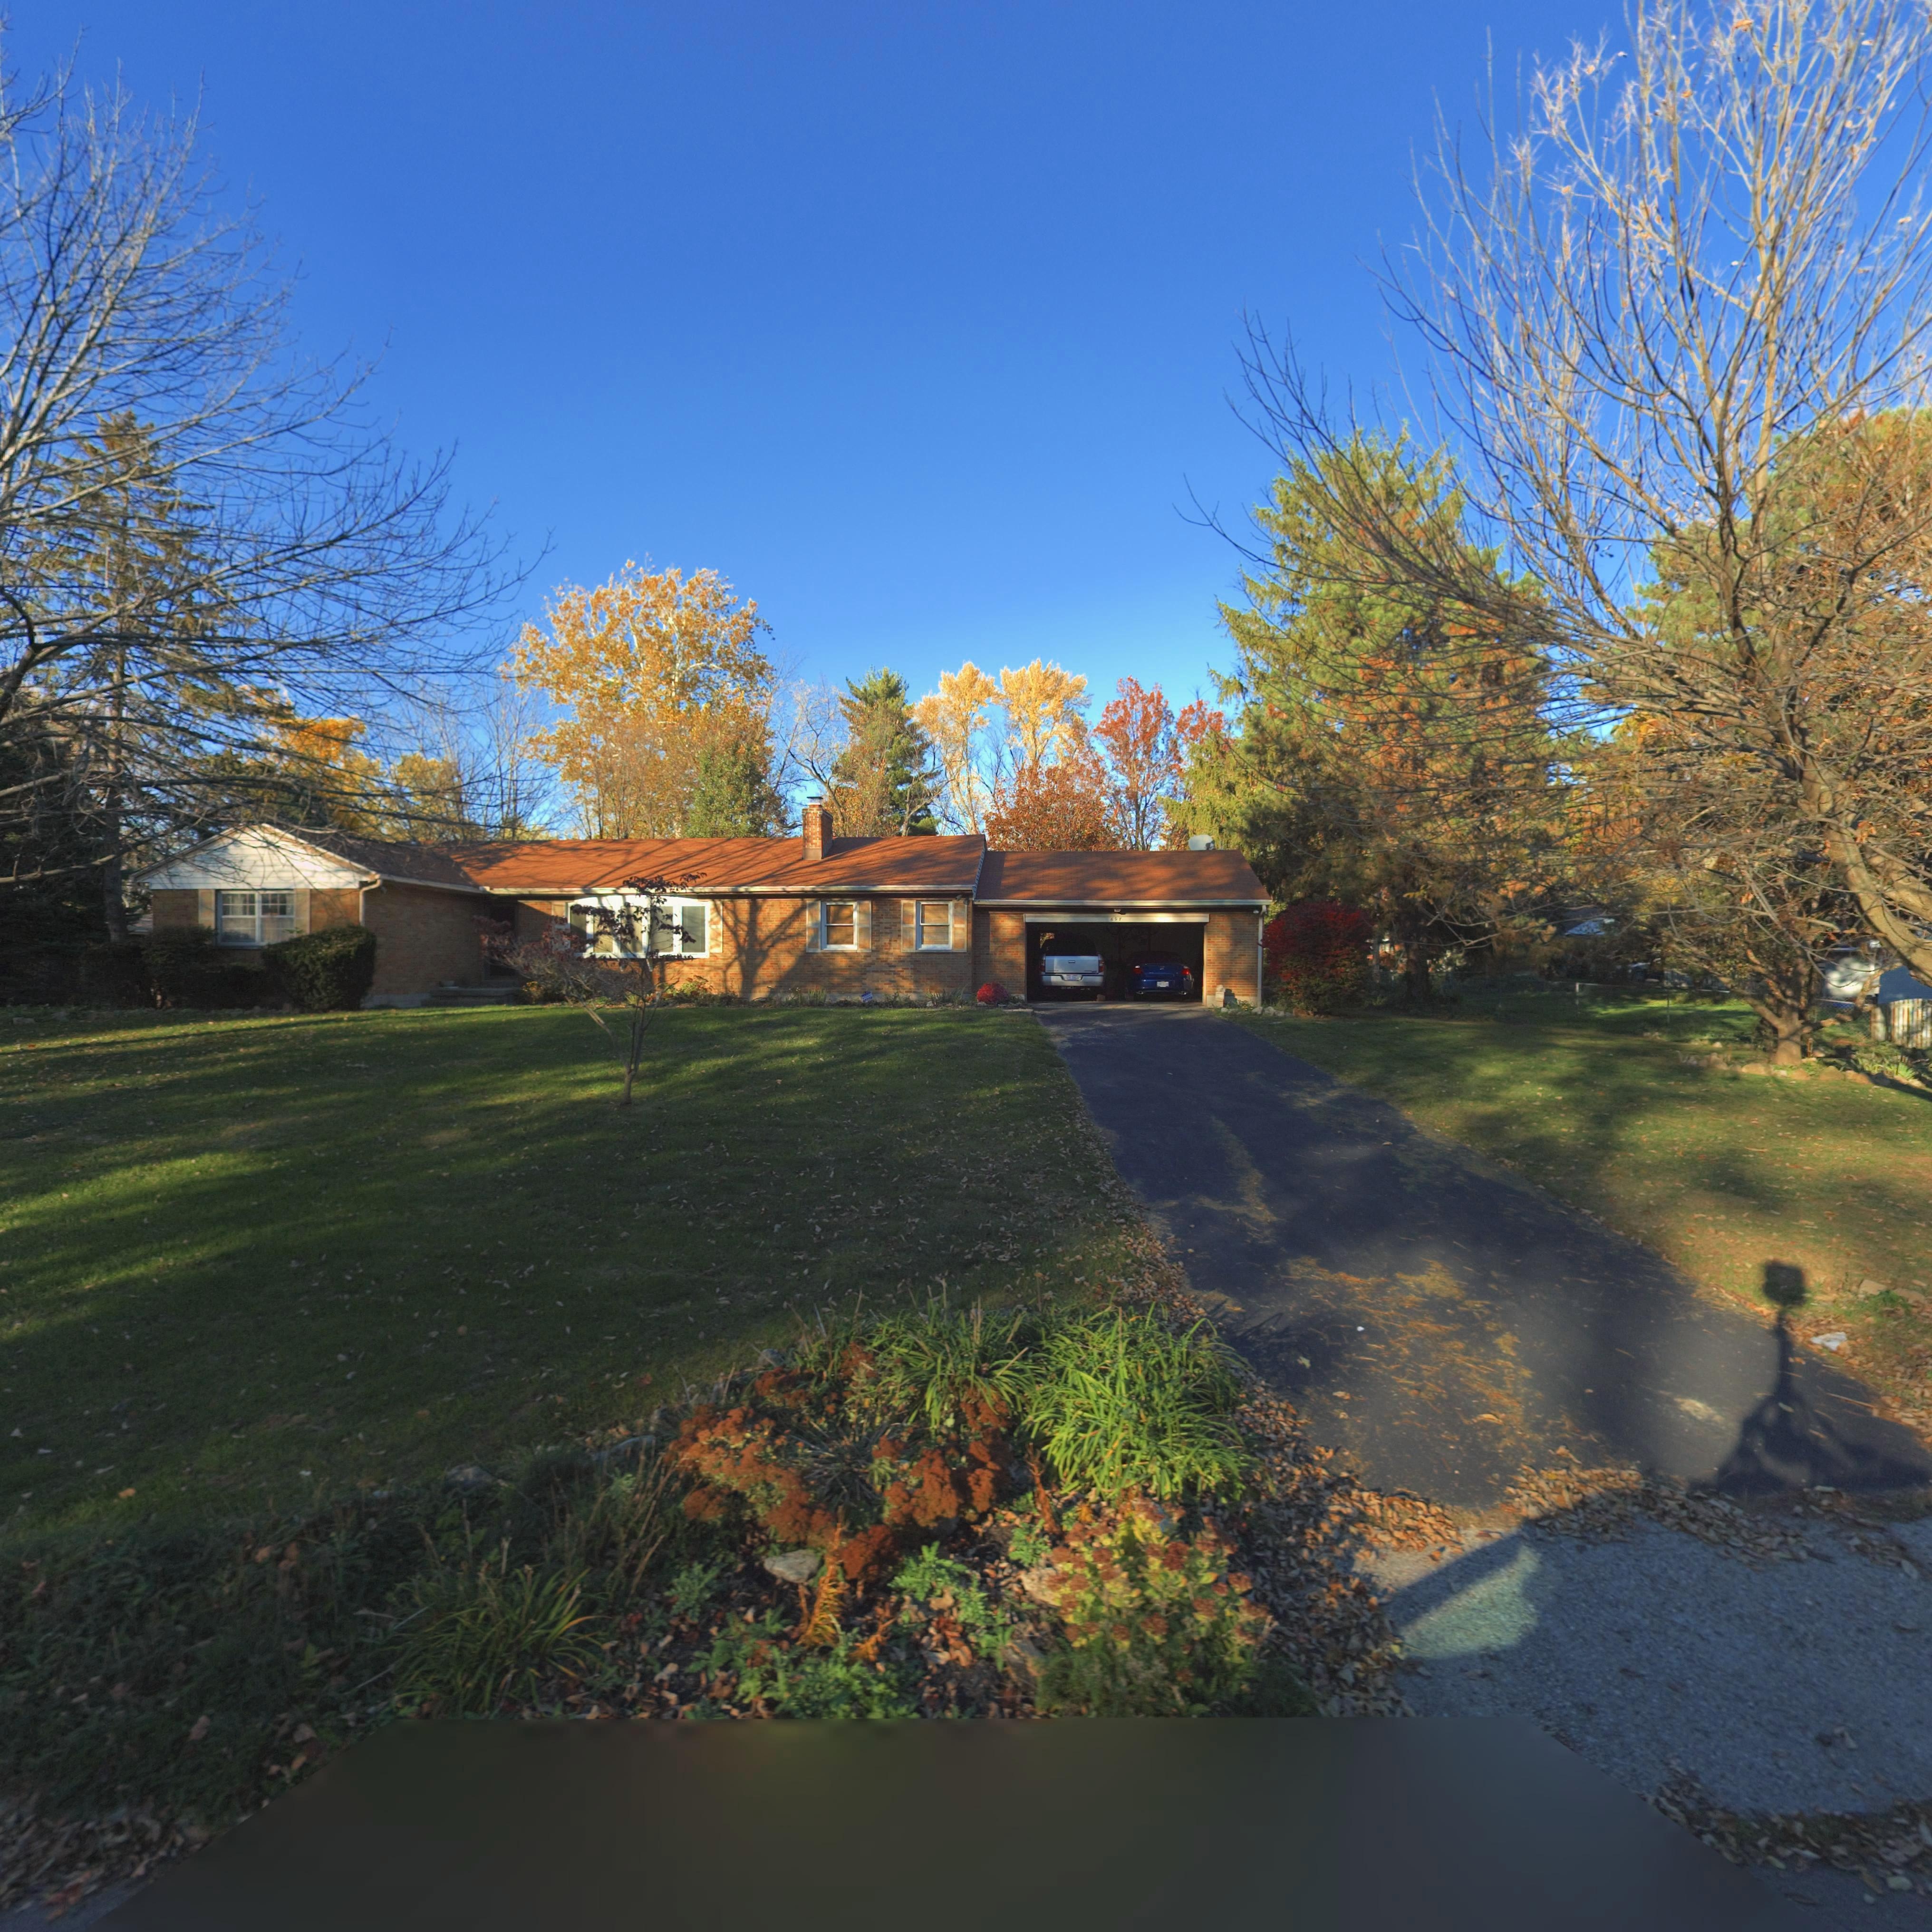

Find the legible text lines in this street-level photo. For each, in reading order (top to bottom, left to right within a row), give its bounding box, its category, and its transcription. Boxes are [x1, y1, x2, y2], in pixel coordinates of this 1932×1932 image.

[1110, 916, 1122, 922] StreetNumber: 6**